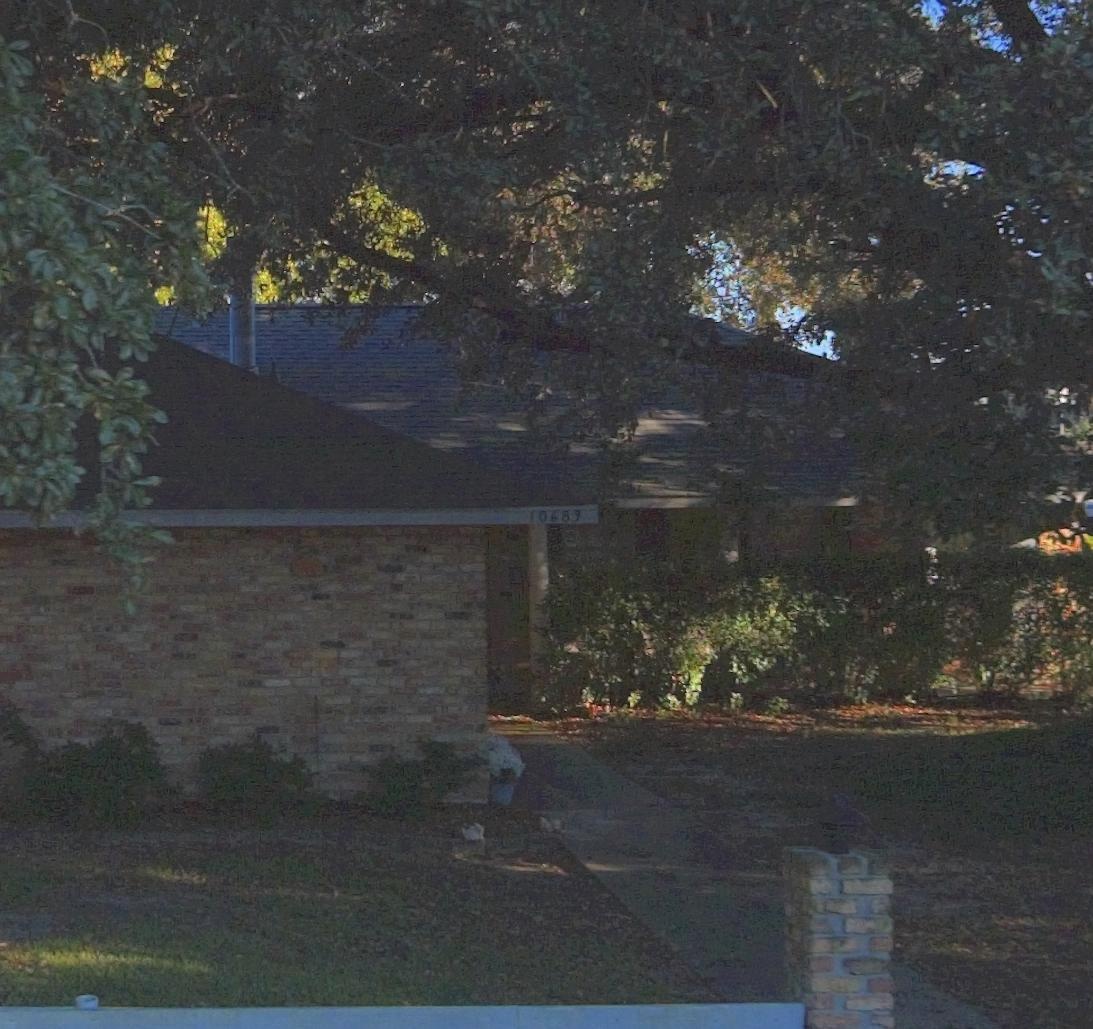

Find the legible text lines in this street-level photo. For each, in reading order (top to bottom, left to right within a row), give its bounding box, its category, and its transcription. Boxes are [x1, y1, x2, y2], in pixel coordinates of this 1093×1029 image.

[527, 508, 582, 524] StreetNumber: 10689